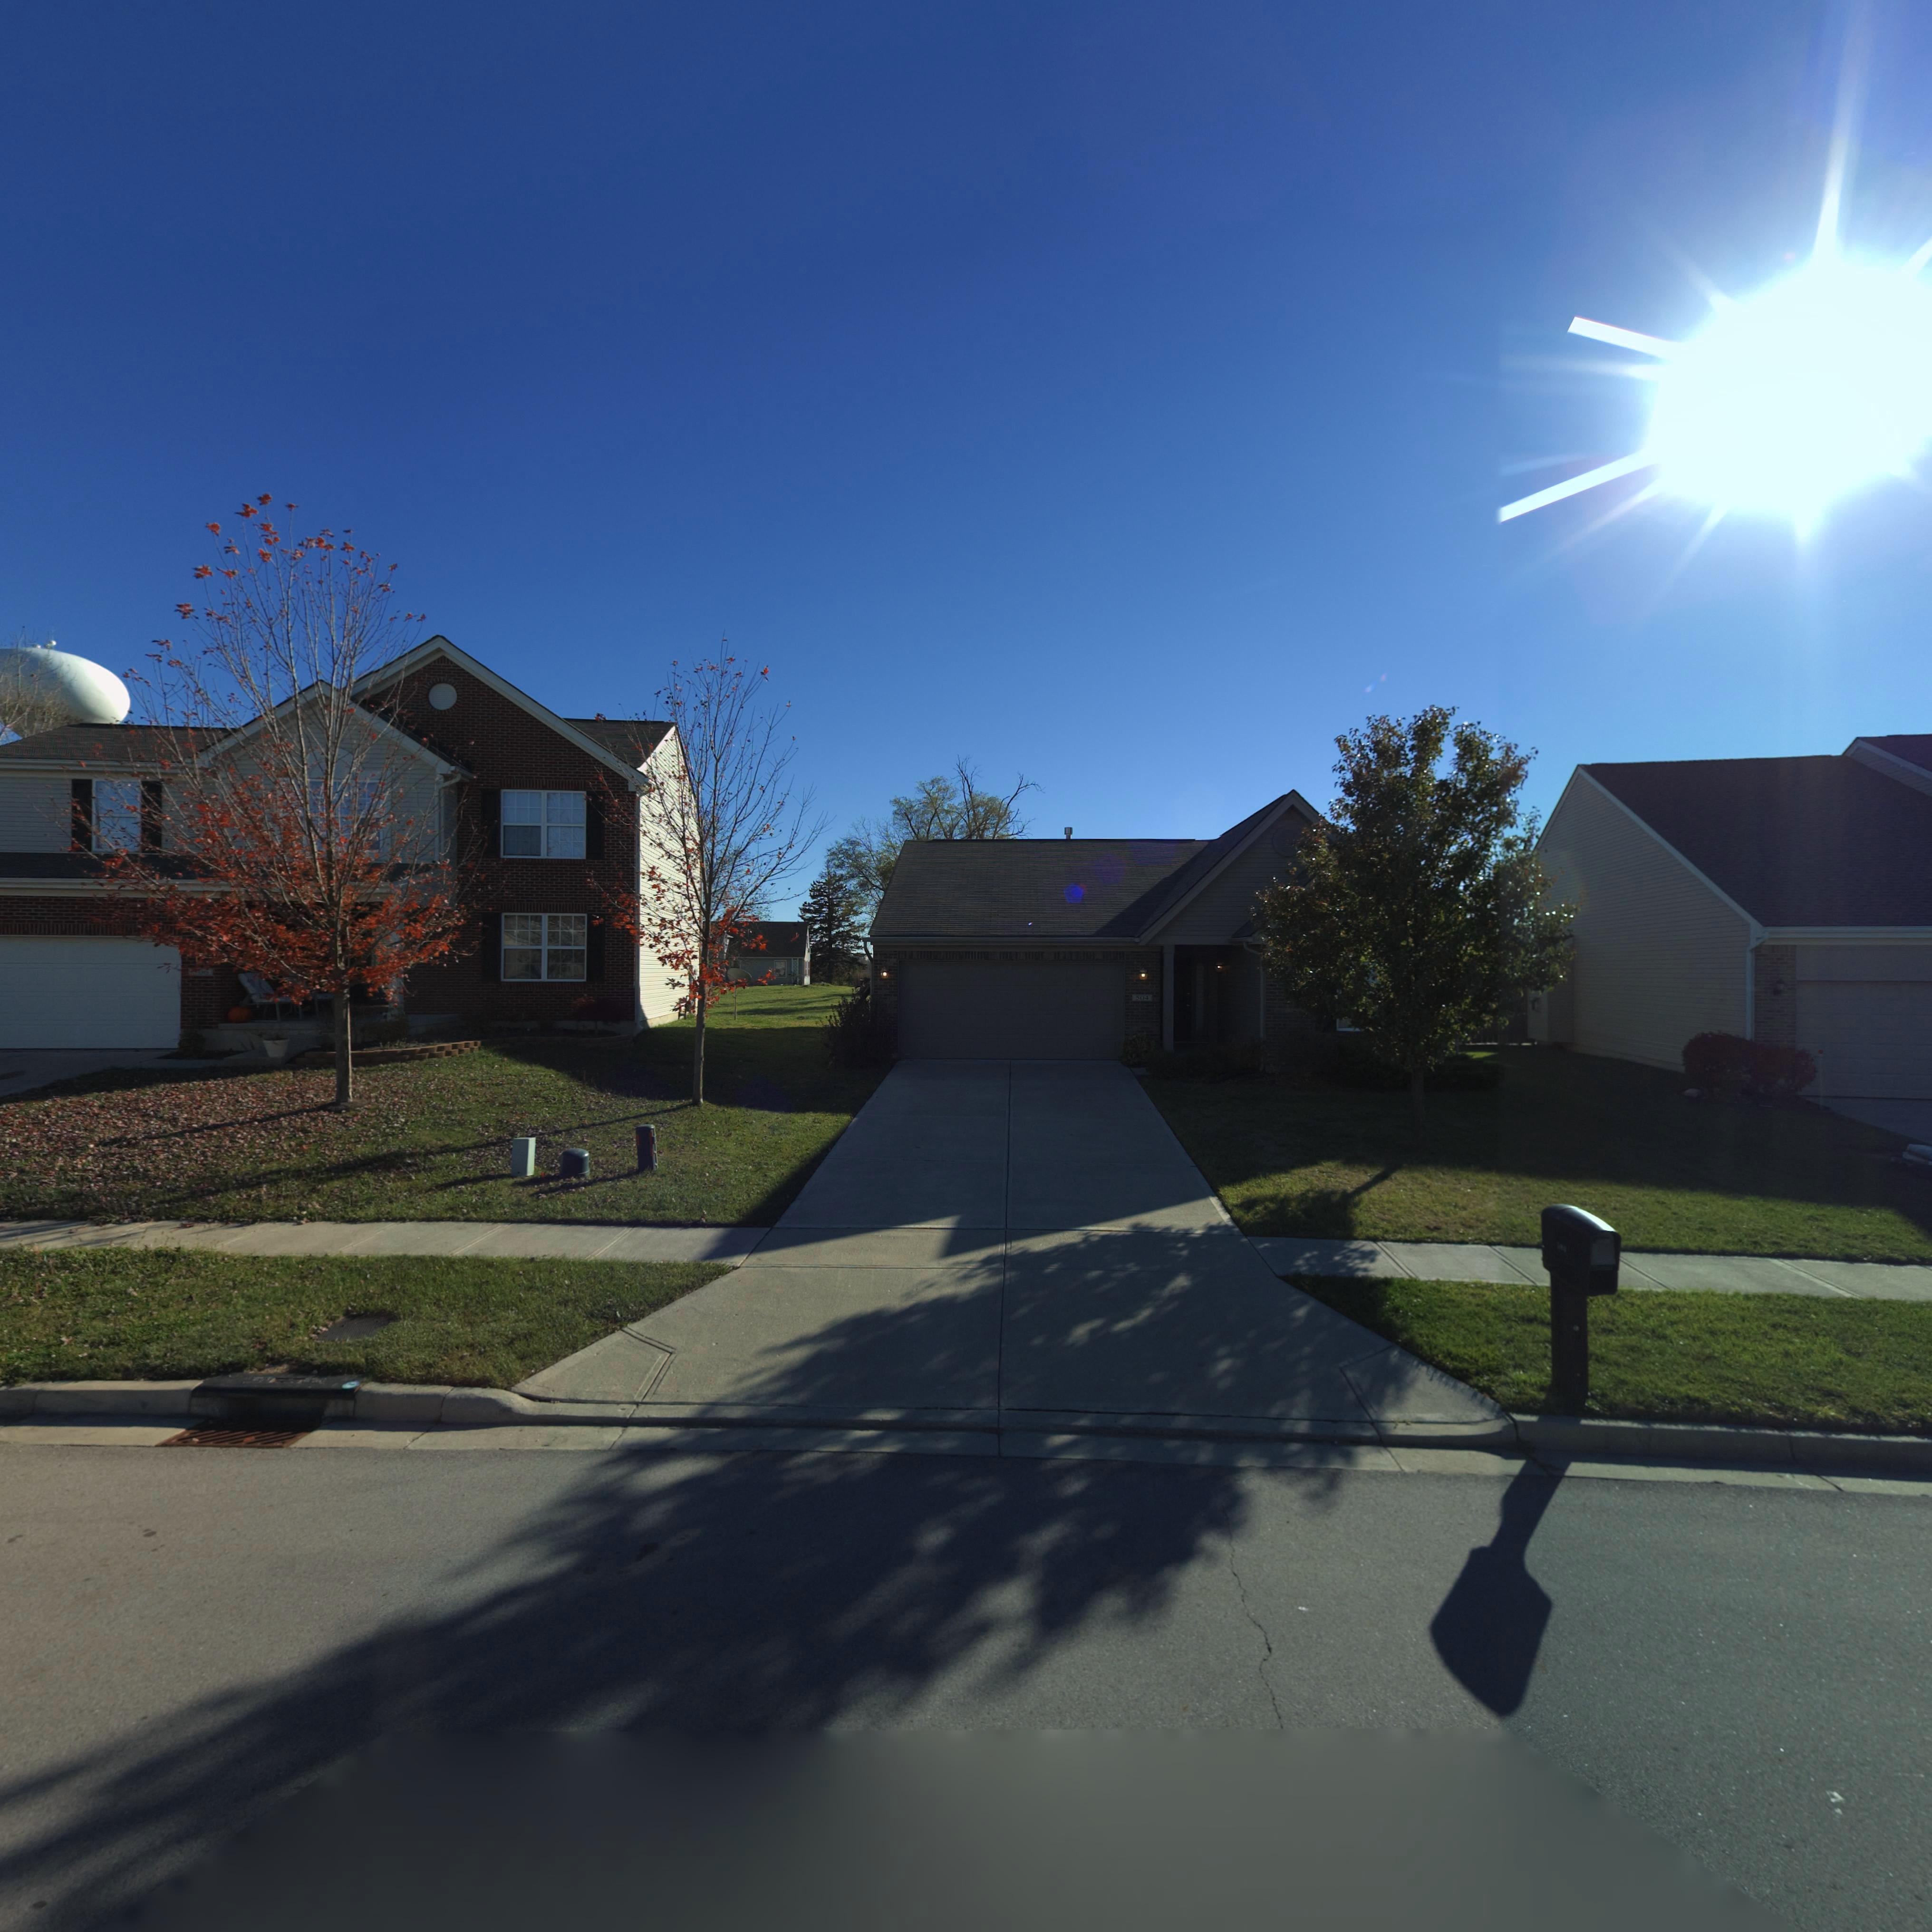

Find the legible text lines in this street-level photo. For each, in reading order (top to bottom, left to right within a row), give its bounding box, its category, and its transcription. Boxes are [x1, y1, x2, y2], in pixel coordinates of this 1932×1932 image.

[1135, 995, 1150, 1001] StreetNumber: 504